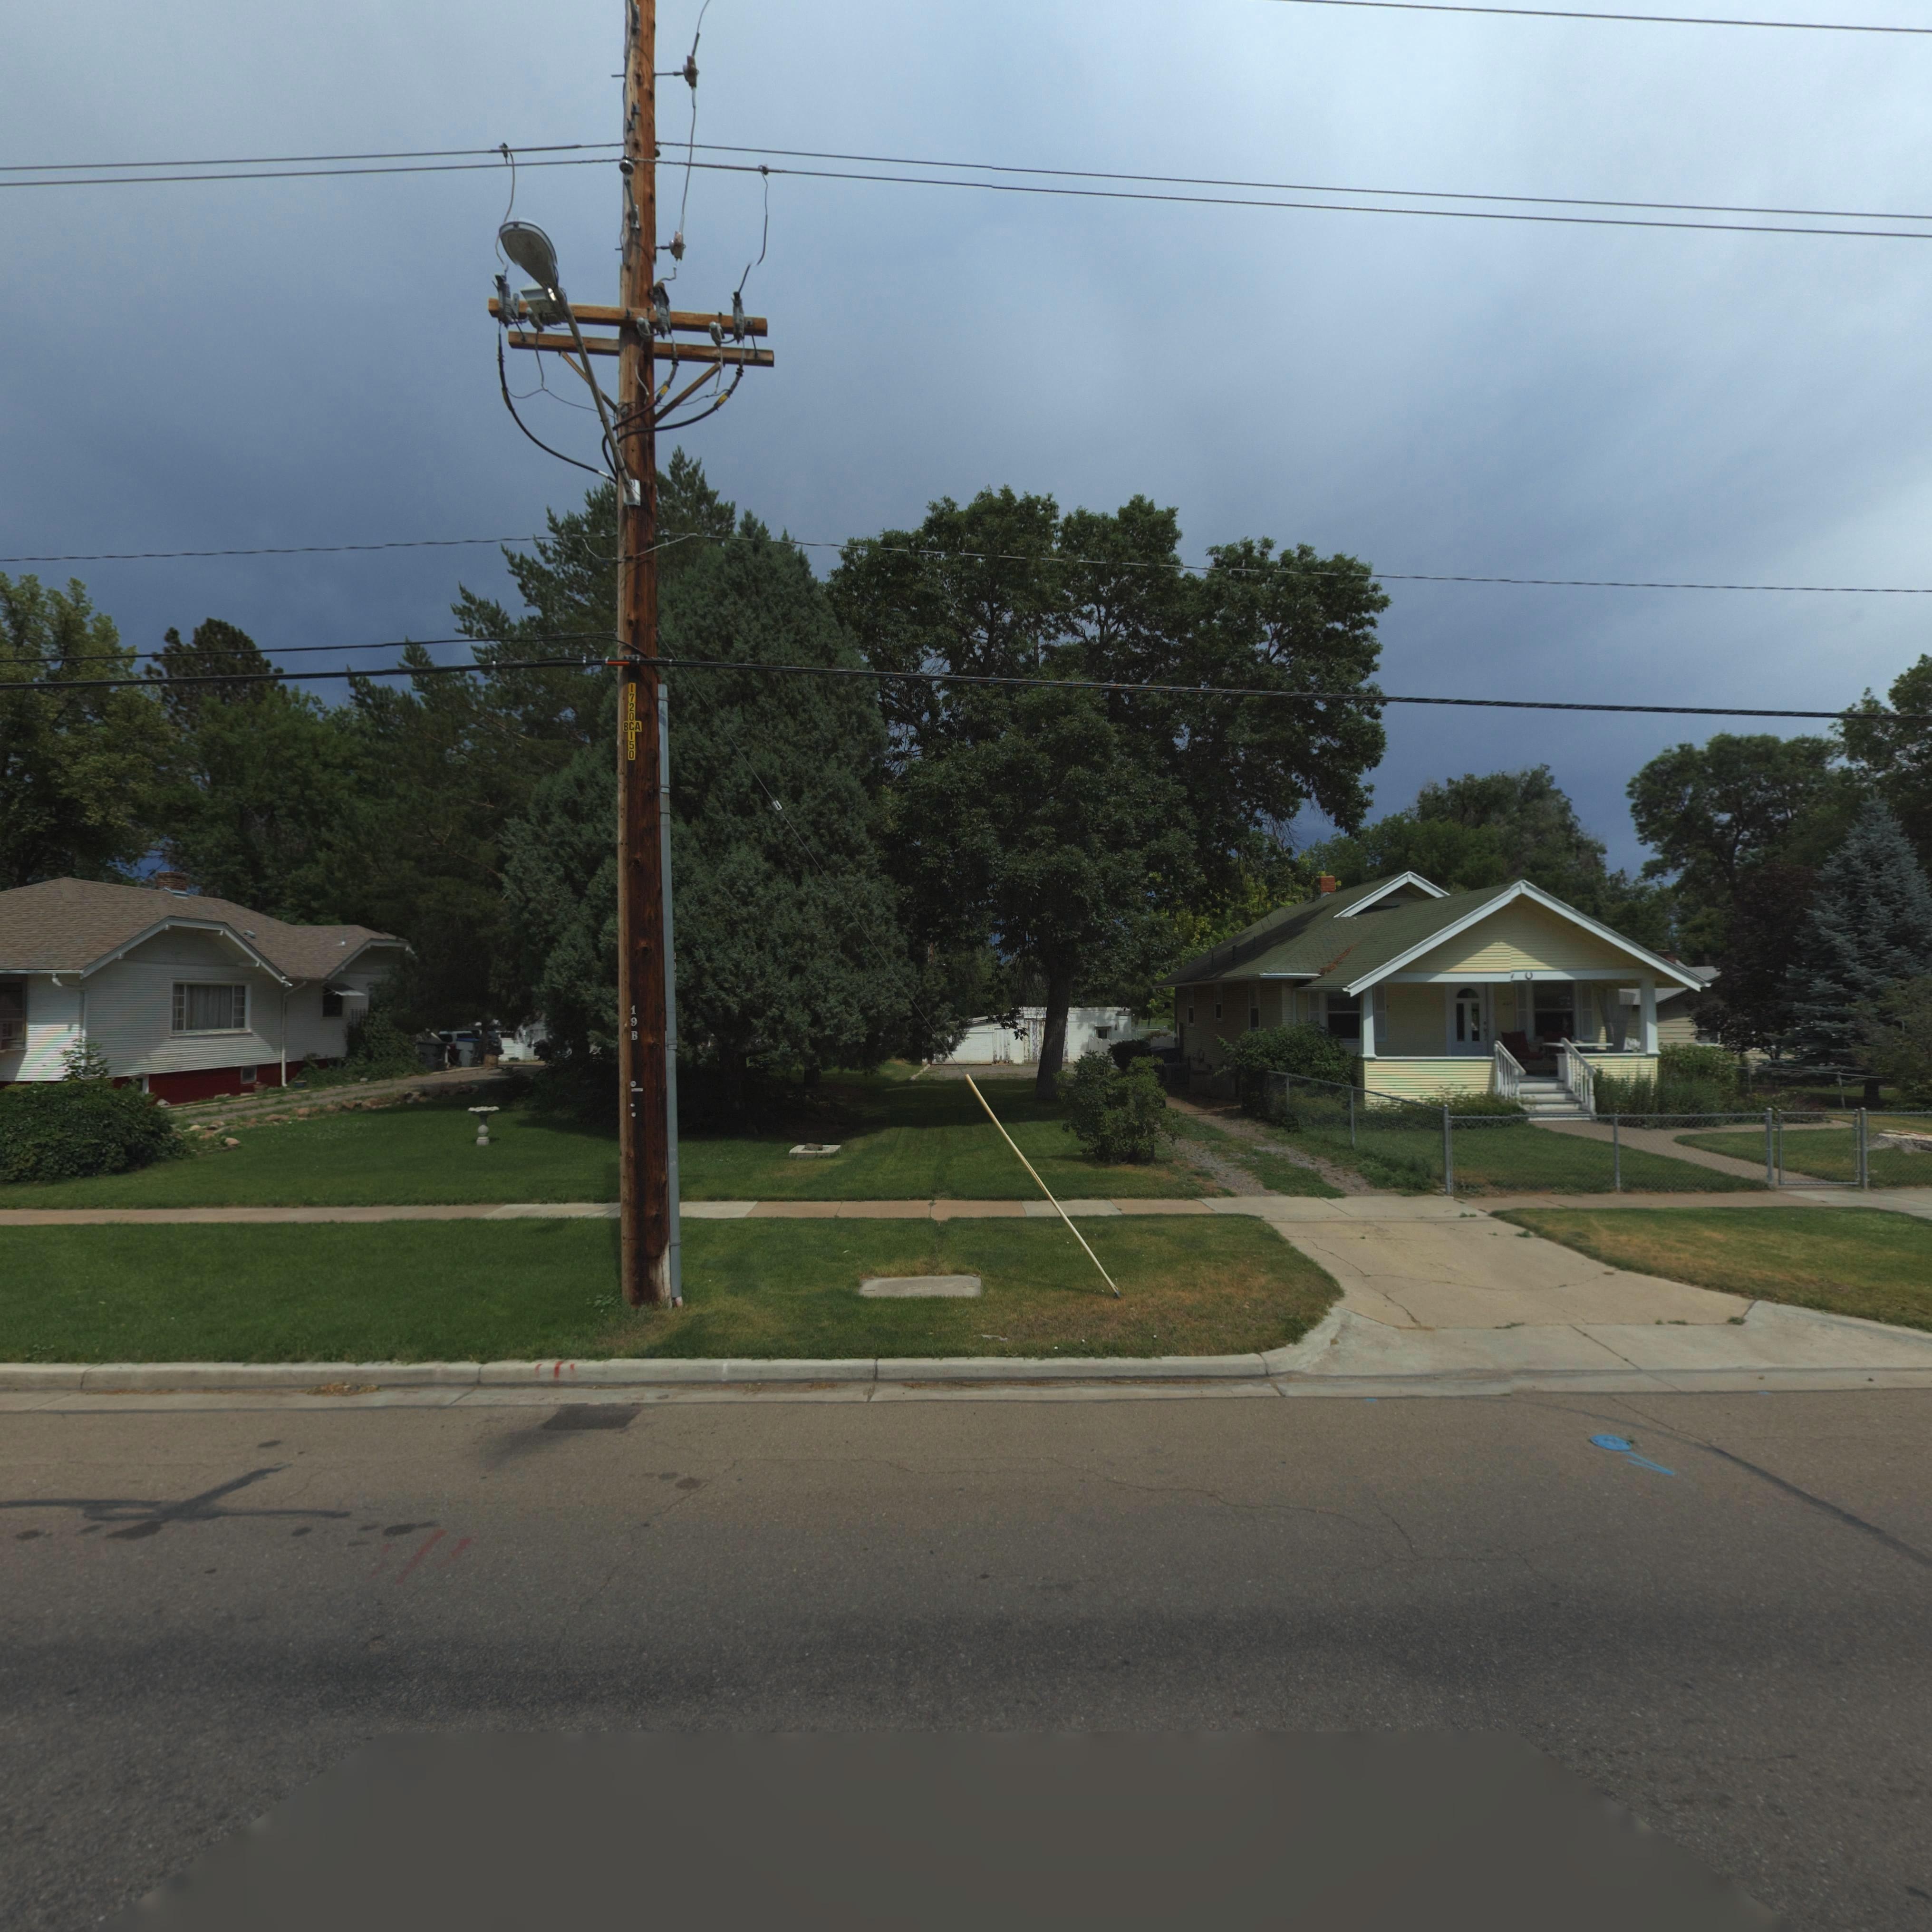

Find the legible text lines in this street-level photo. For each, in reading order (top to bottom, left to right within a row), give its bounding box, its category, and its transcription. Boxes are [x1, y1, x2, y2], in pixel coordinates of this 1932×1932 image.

[624, 721, 640, 730] StreetNumber: 804